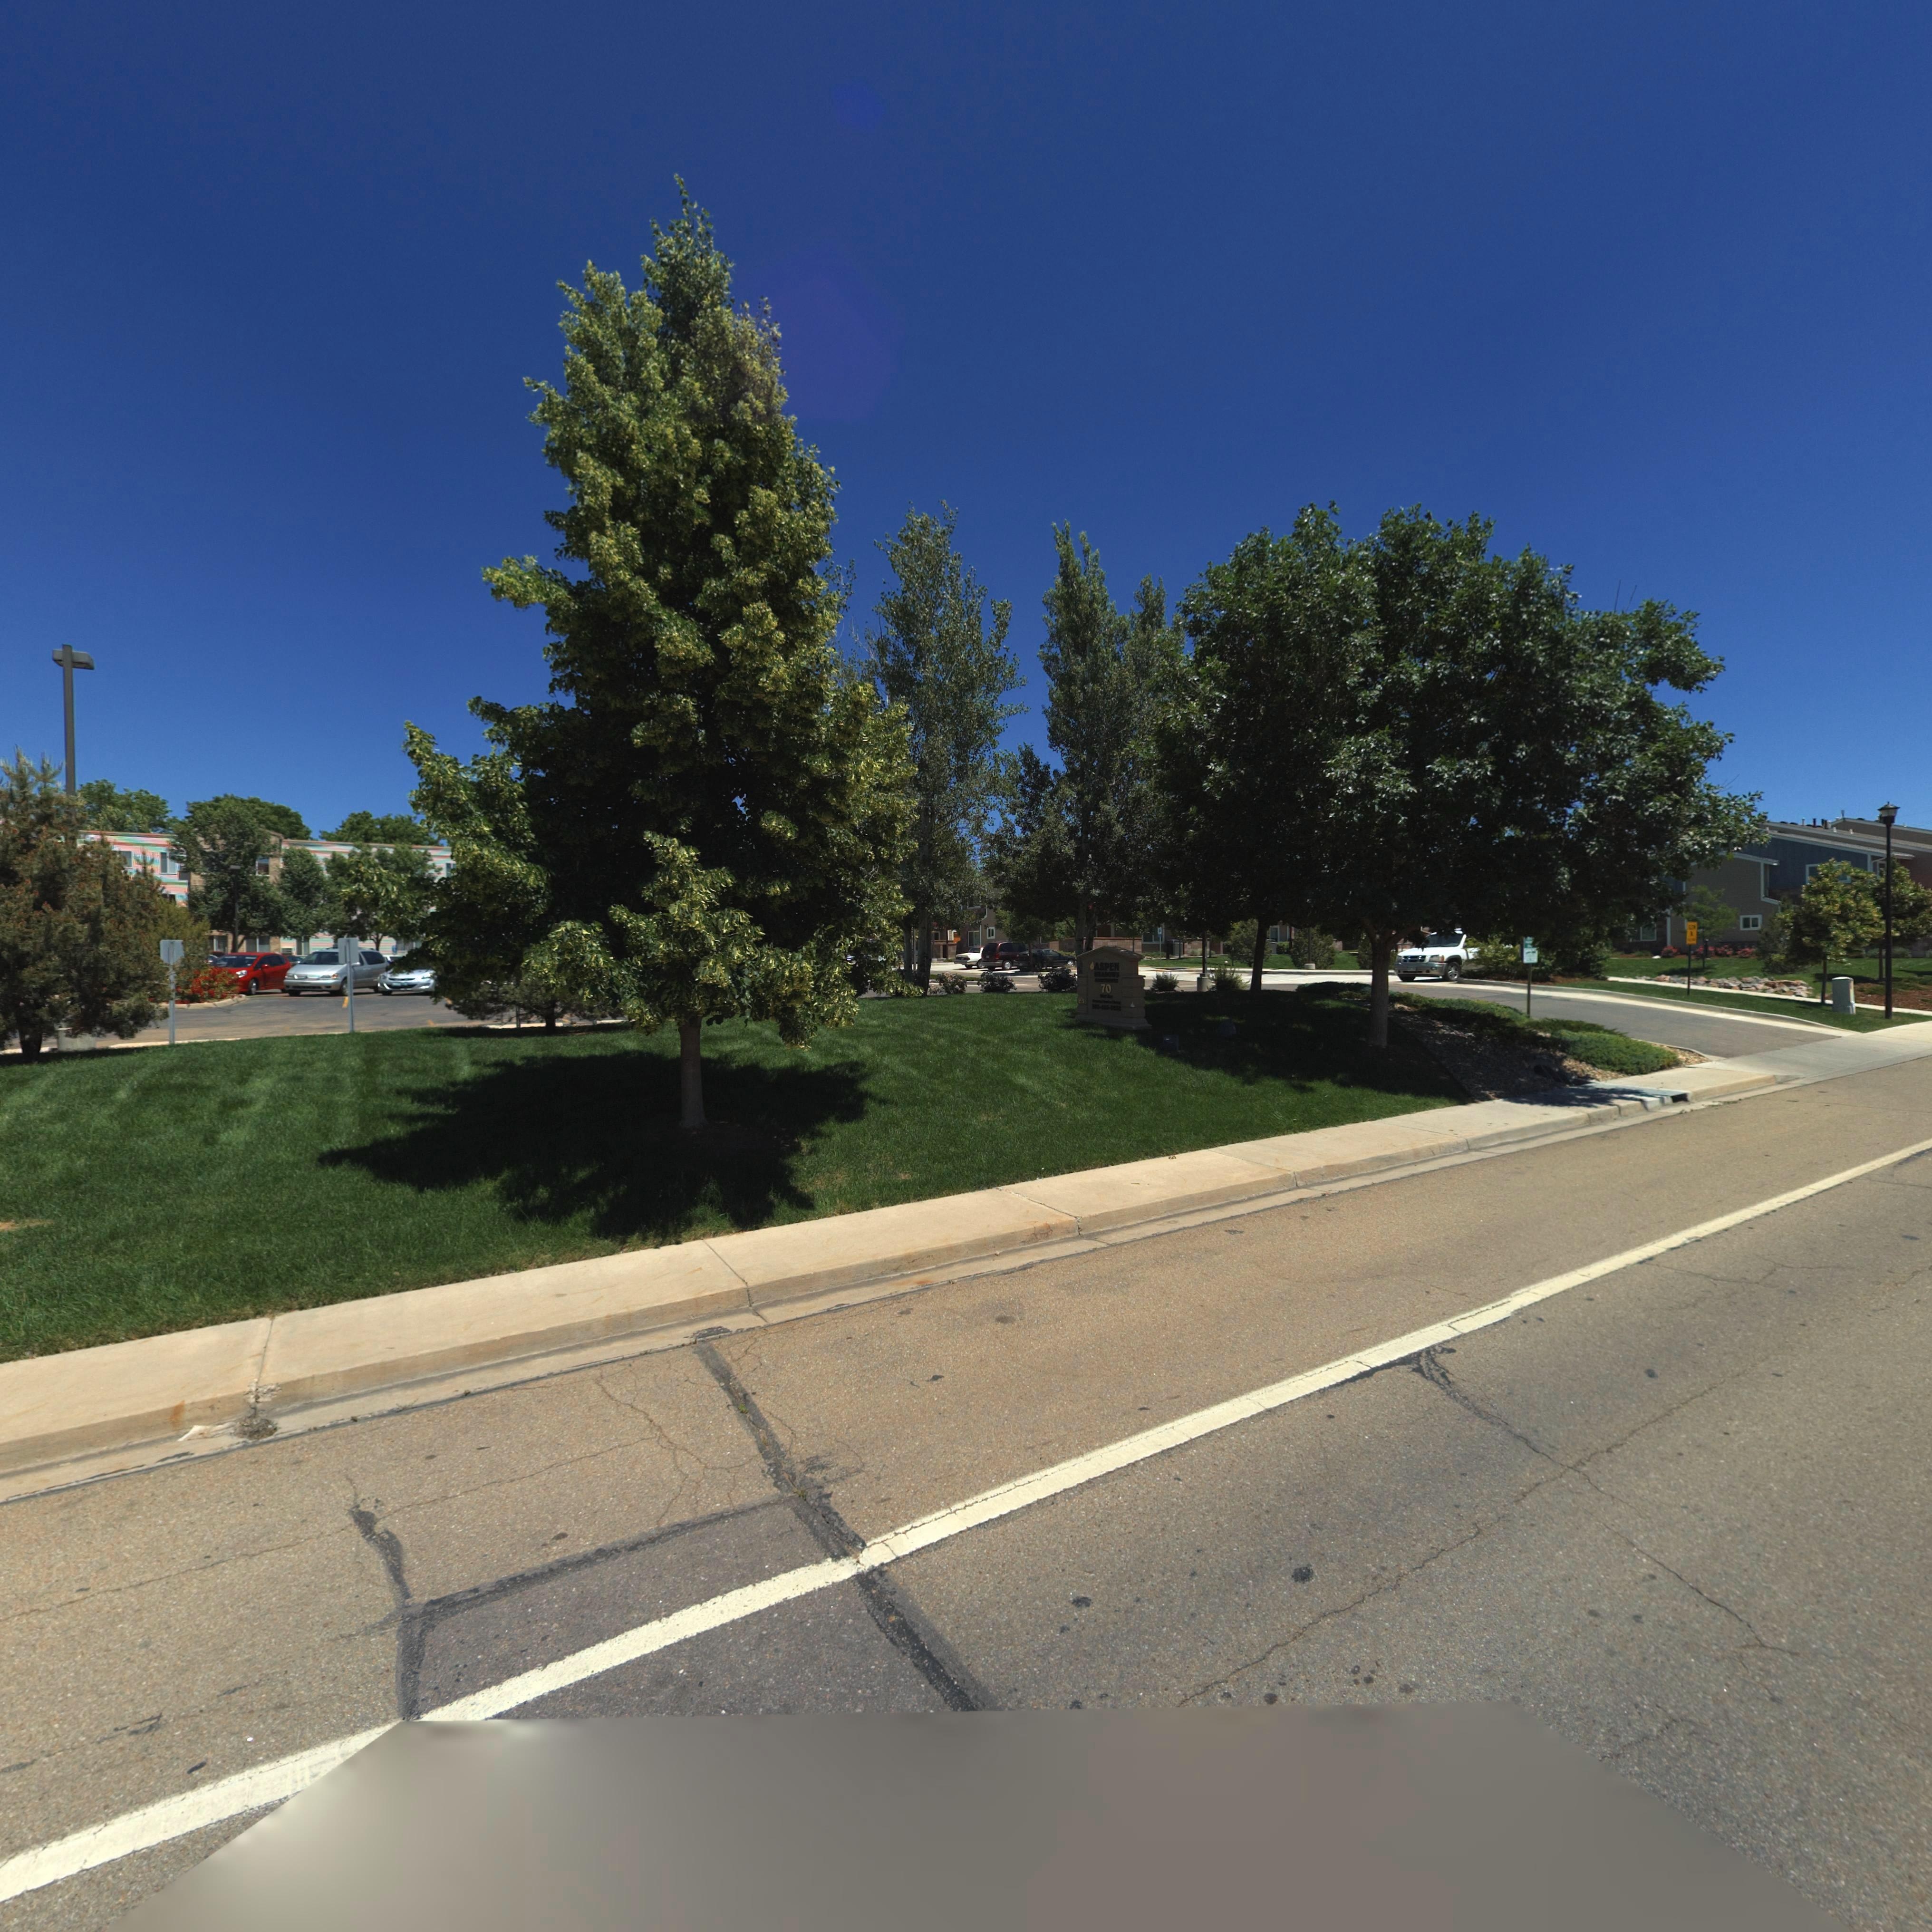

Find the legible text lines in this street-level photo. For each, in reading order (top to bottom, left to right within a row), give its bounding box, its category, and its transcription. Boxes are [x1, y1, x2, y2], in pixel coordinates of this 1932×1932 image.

[1092, 962, 1120, 971] BusinessName: ASPEN
[1094, 970, 1120, 977] BusinessName: MEADOWS
[1094, 978, 1118, 983] BusinessName: APARTMENTS
[1100, 983, 1112, 994] StreetNumber: 70